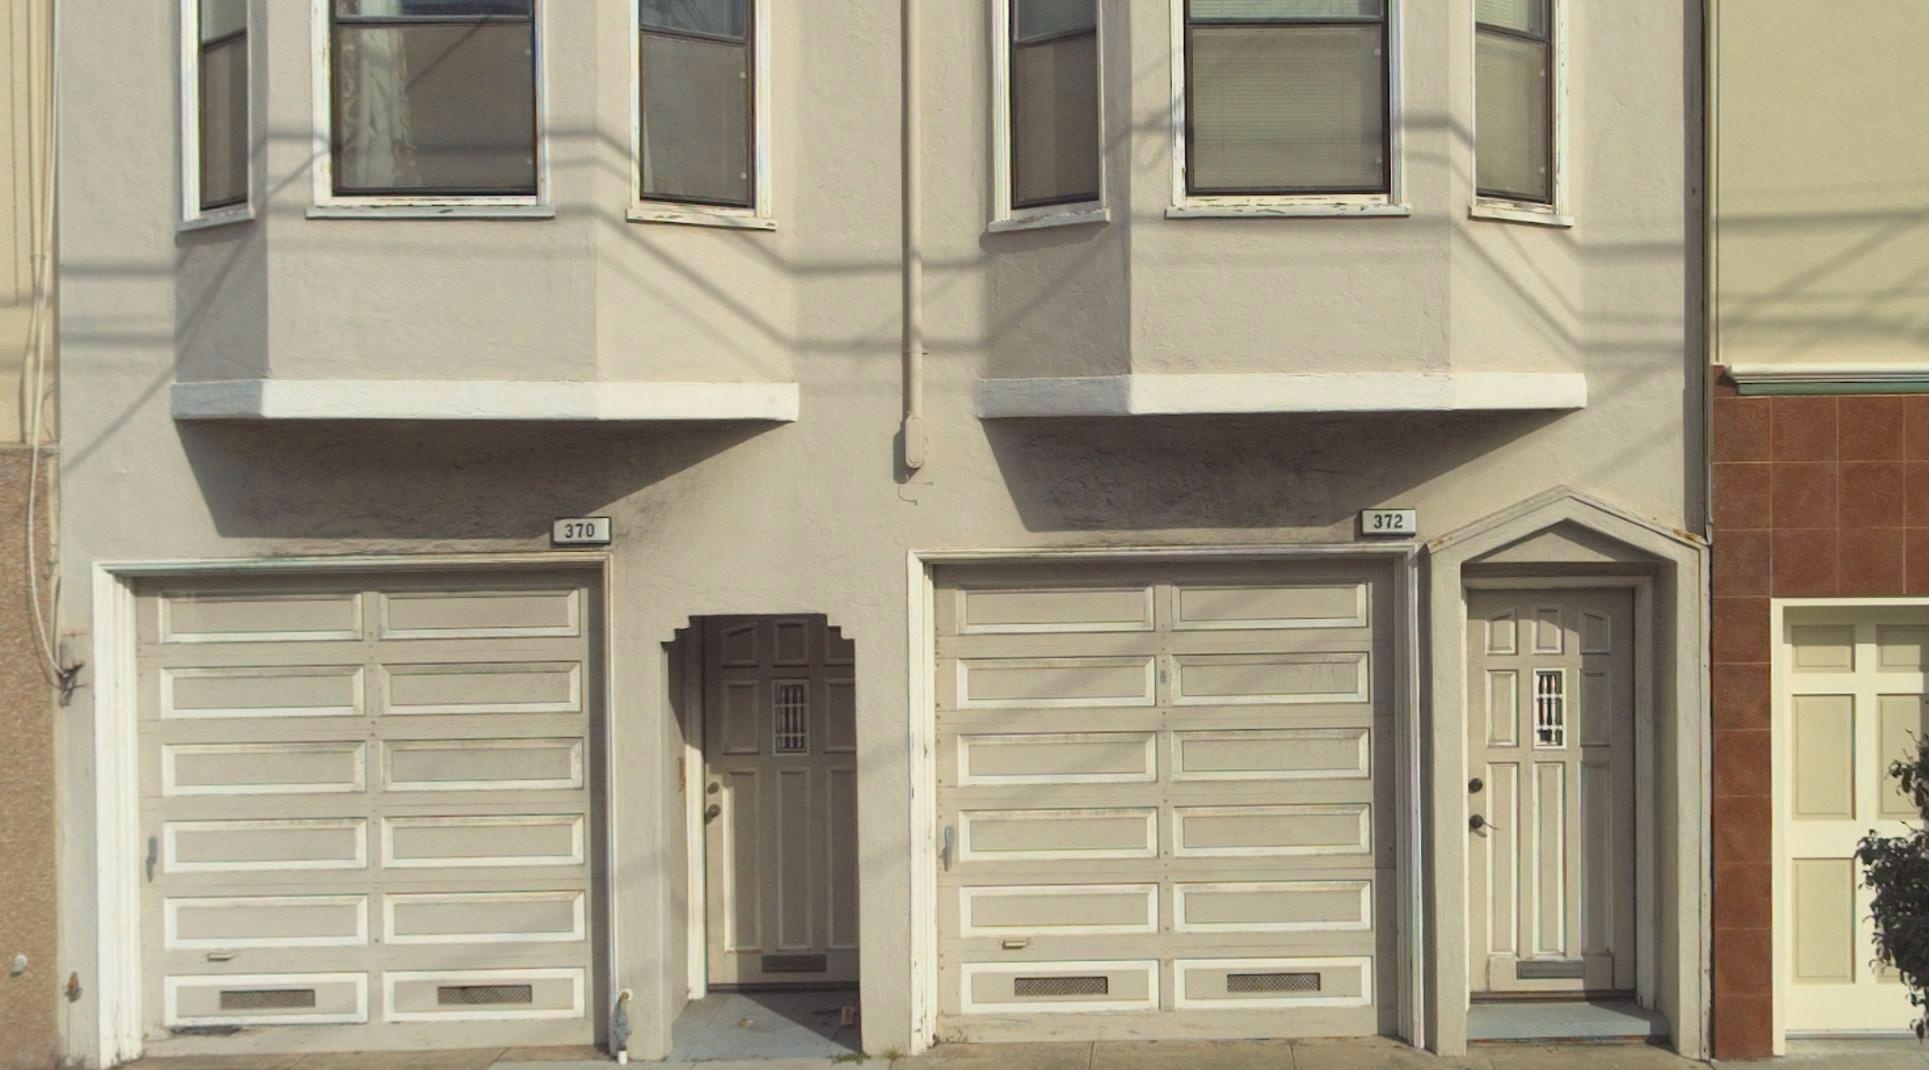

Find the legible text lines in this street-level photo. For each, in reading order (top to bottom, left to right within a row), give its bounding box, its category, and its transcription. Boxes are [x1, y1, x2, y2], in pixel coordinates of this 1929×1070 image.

[1372, 513, 1404, 530] StreetNumber: 372
[564, 522, 596, 540] StreetNumber: 370